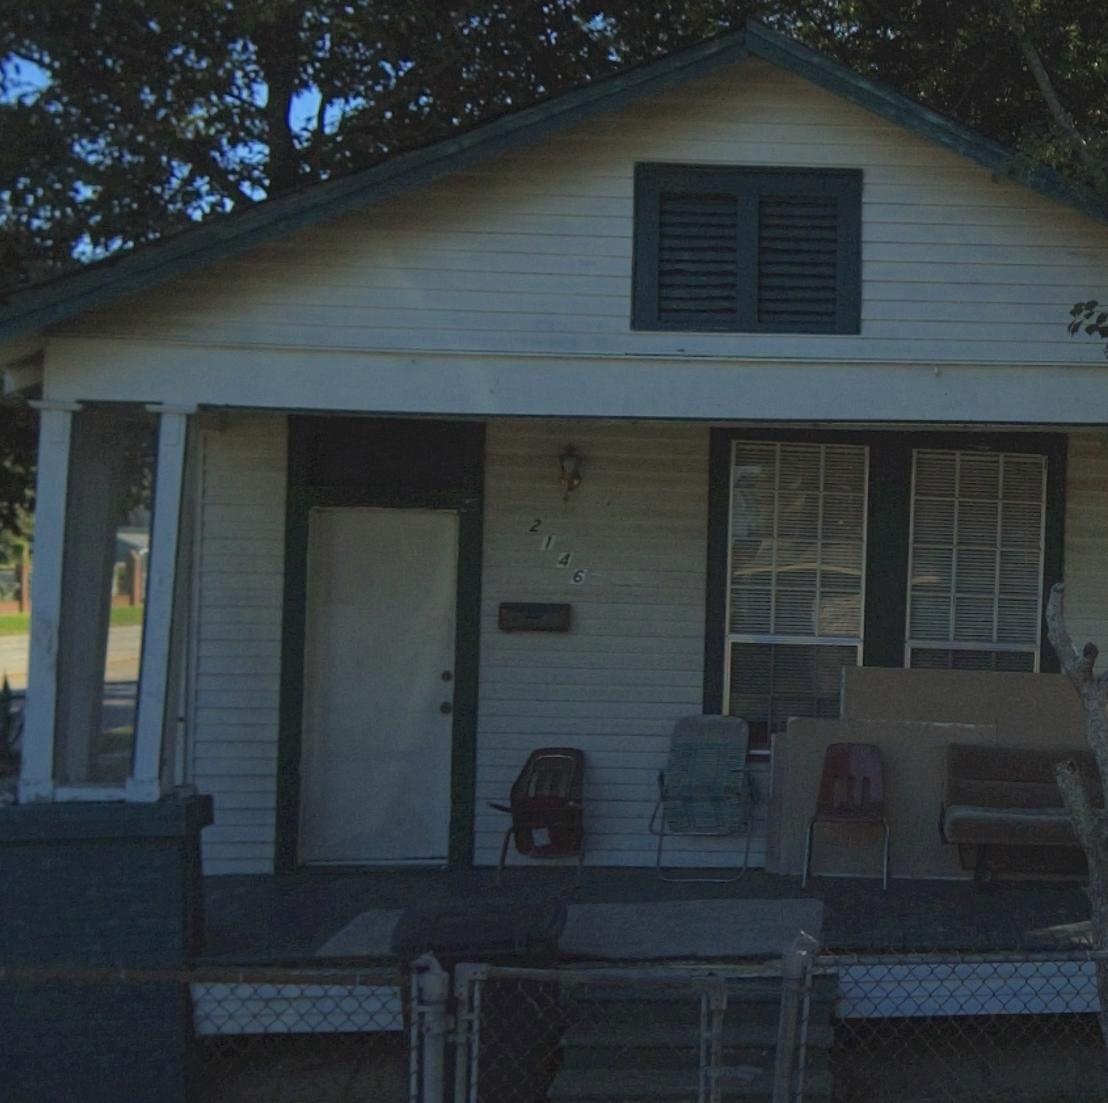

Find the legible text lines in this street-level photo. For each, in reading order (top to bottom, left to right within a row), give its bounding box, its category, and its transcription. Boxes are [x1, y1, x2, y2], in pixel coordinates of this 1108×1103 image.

[526, 516, 588, 585] StreetNumber: 2146